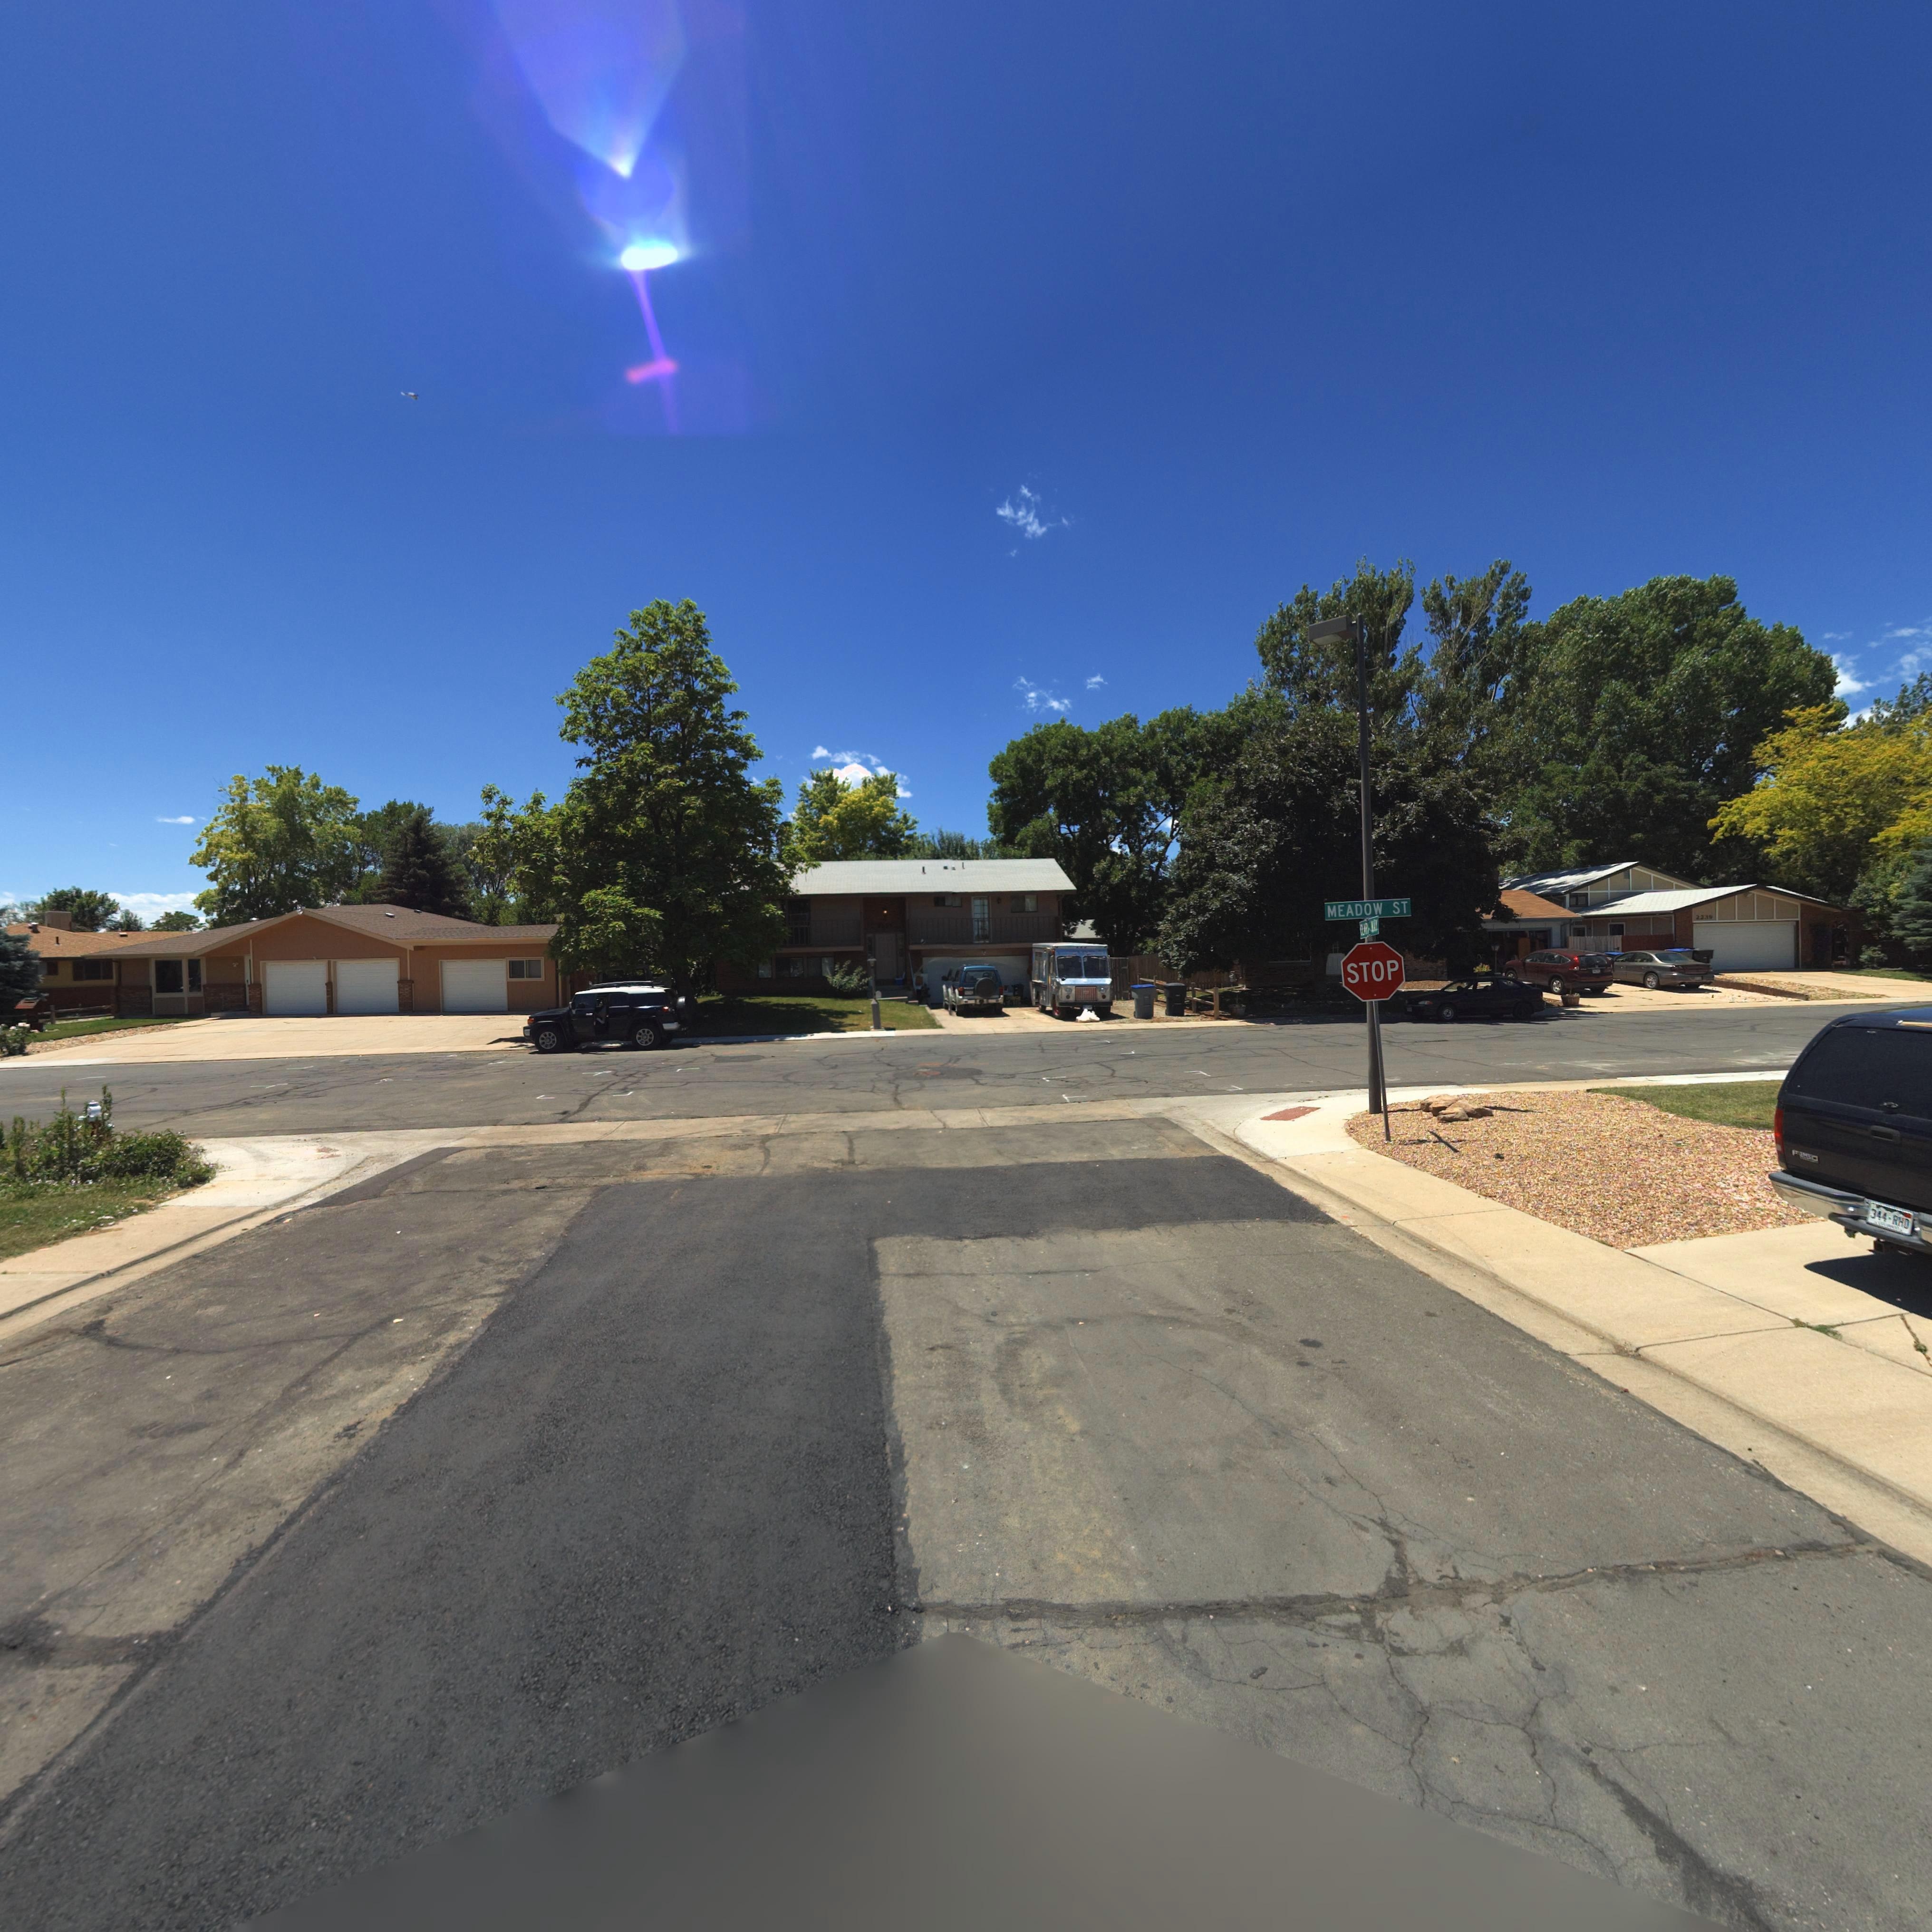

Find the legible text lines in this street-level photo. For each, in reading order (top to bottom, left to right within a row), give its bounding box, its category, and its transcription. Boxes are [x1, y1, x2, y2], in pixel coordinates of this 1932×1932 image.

[1326, 900, 1408, 918] StreetName: MEADOW ST
[1695, 914, 1713, 920] StreetNumber: 2239